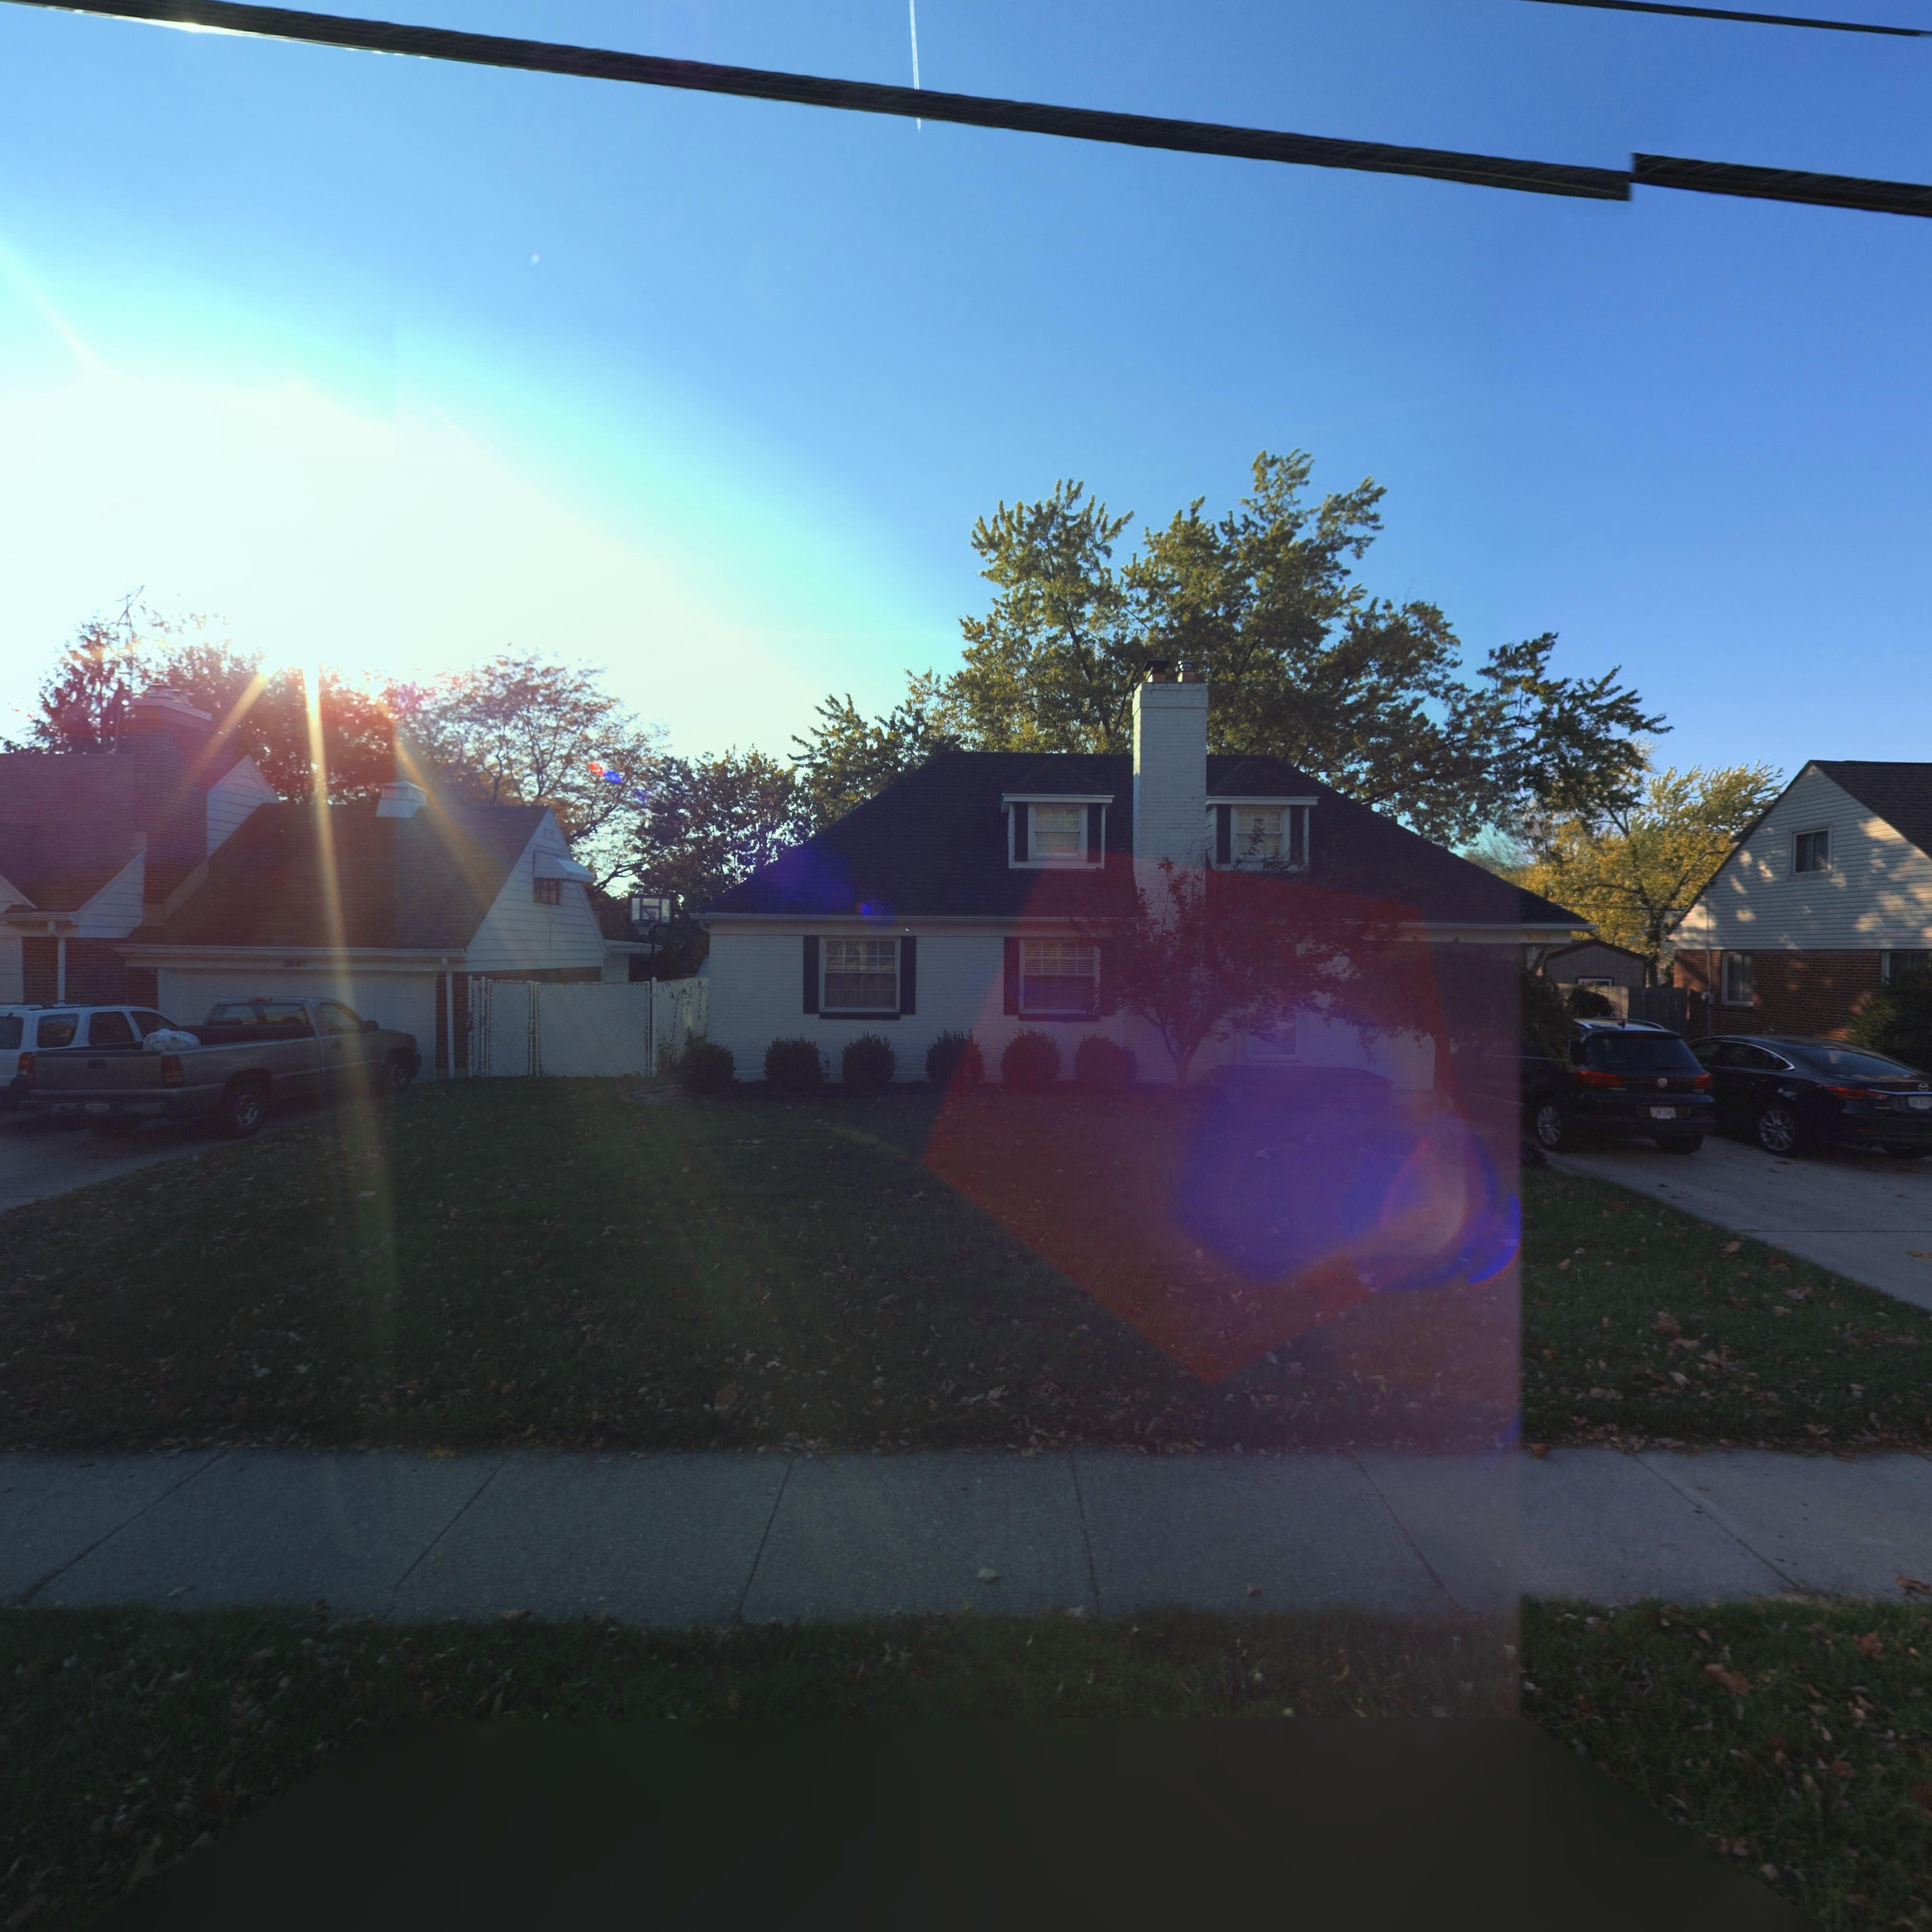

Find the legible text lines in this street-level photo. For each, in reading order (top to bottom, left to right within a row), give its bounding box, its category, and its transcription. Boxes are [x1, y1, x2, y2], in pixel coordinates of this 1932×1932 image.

[281, 958, 306, 968] StreetNumber: 3641